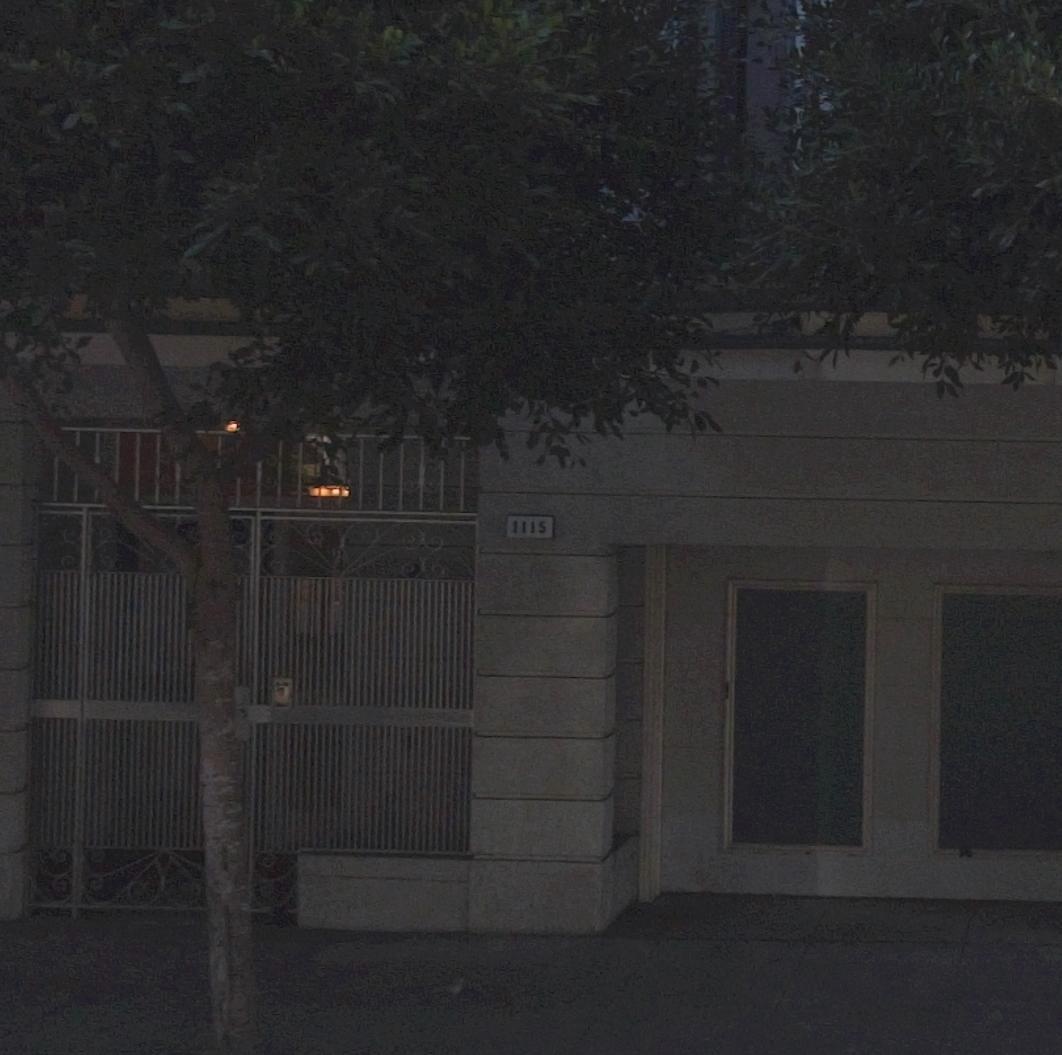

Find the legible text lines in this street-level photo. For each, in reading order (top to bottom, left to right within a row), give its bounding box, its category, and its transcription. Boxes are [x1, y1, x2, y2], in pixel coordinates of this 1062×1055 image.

[511, 518, 549, 537] StreetNumber: 1115